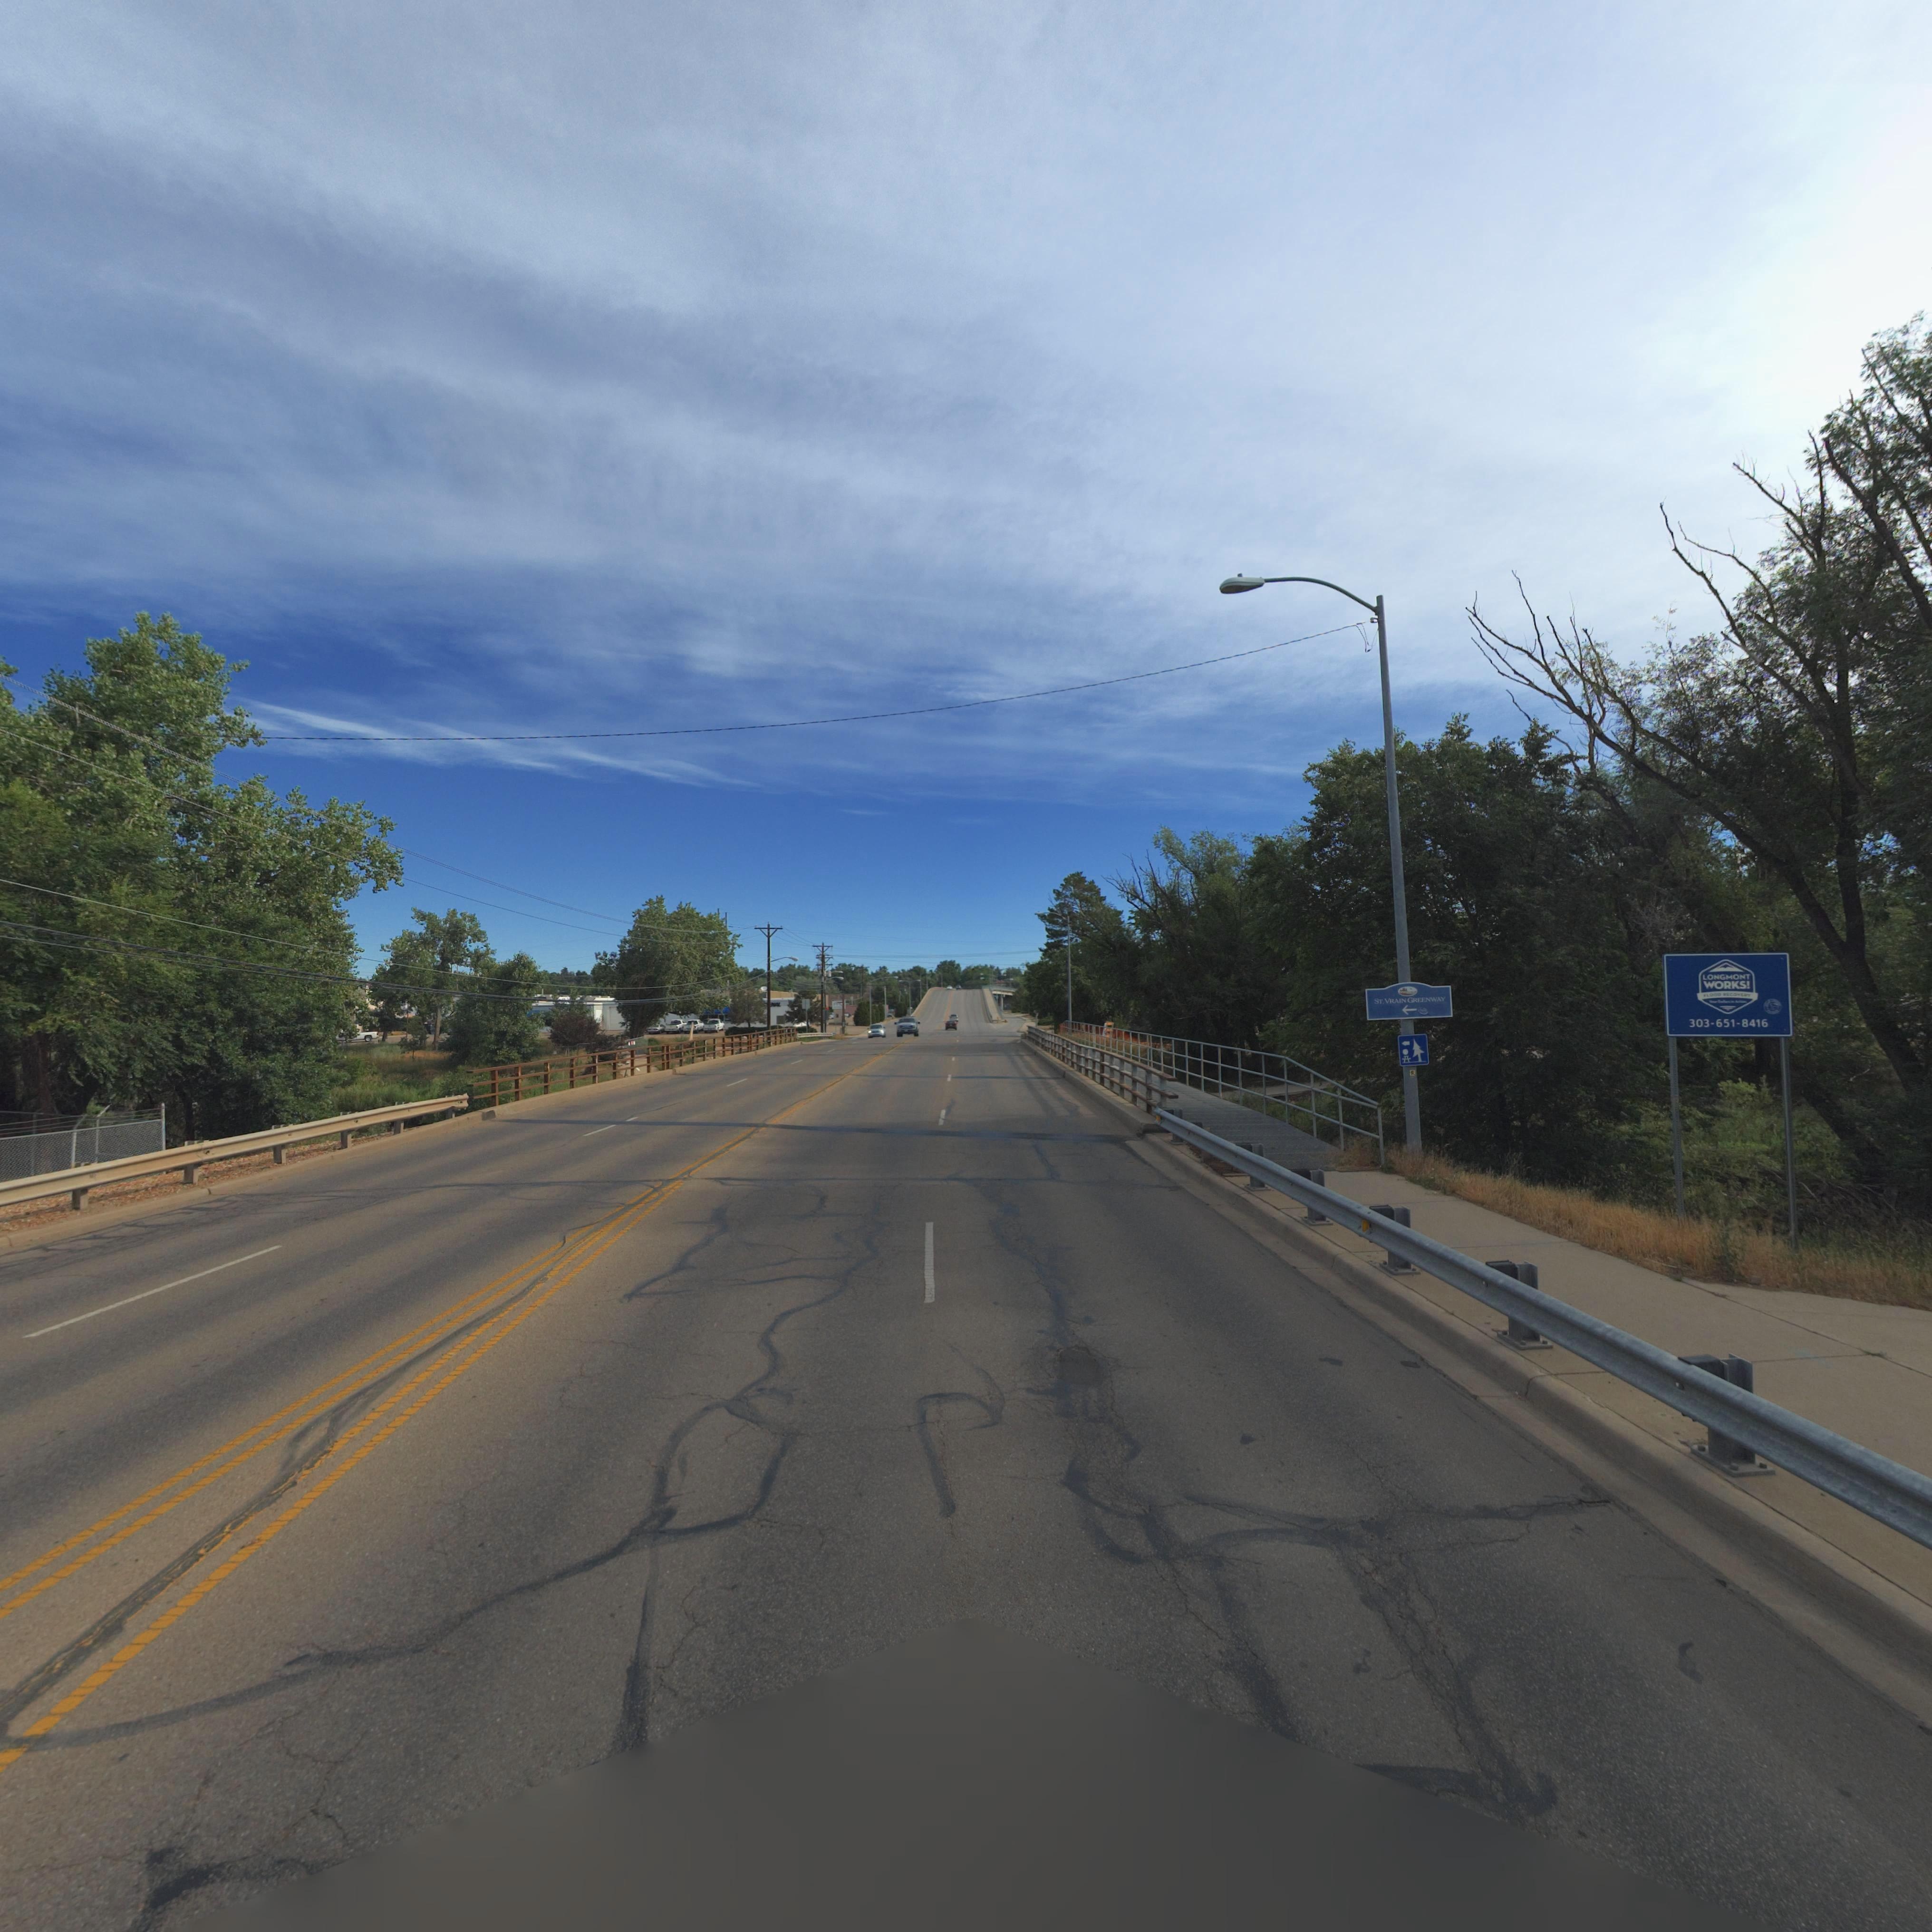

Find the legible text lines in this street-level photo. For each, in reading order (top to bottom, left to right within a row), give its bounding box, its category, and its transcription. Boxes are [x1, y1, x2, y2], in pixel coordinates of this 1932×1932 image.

[770, 1002, 781, 1006] BusinessName: NAL